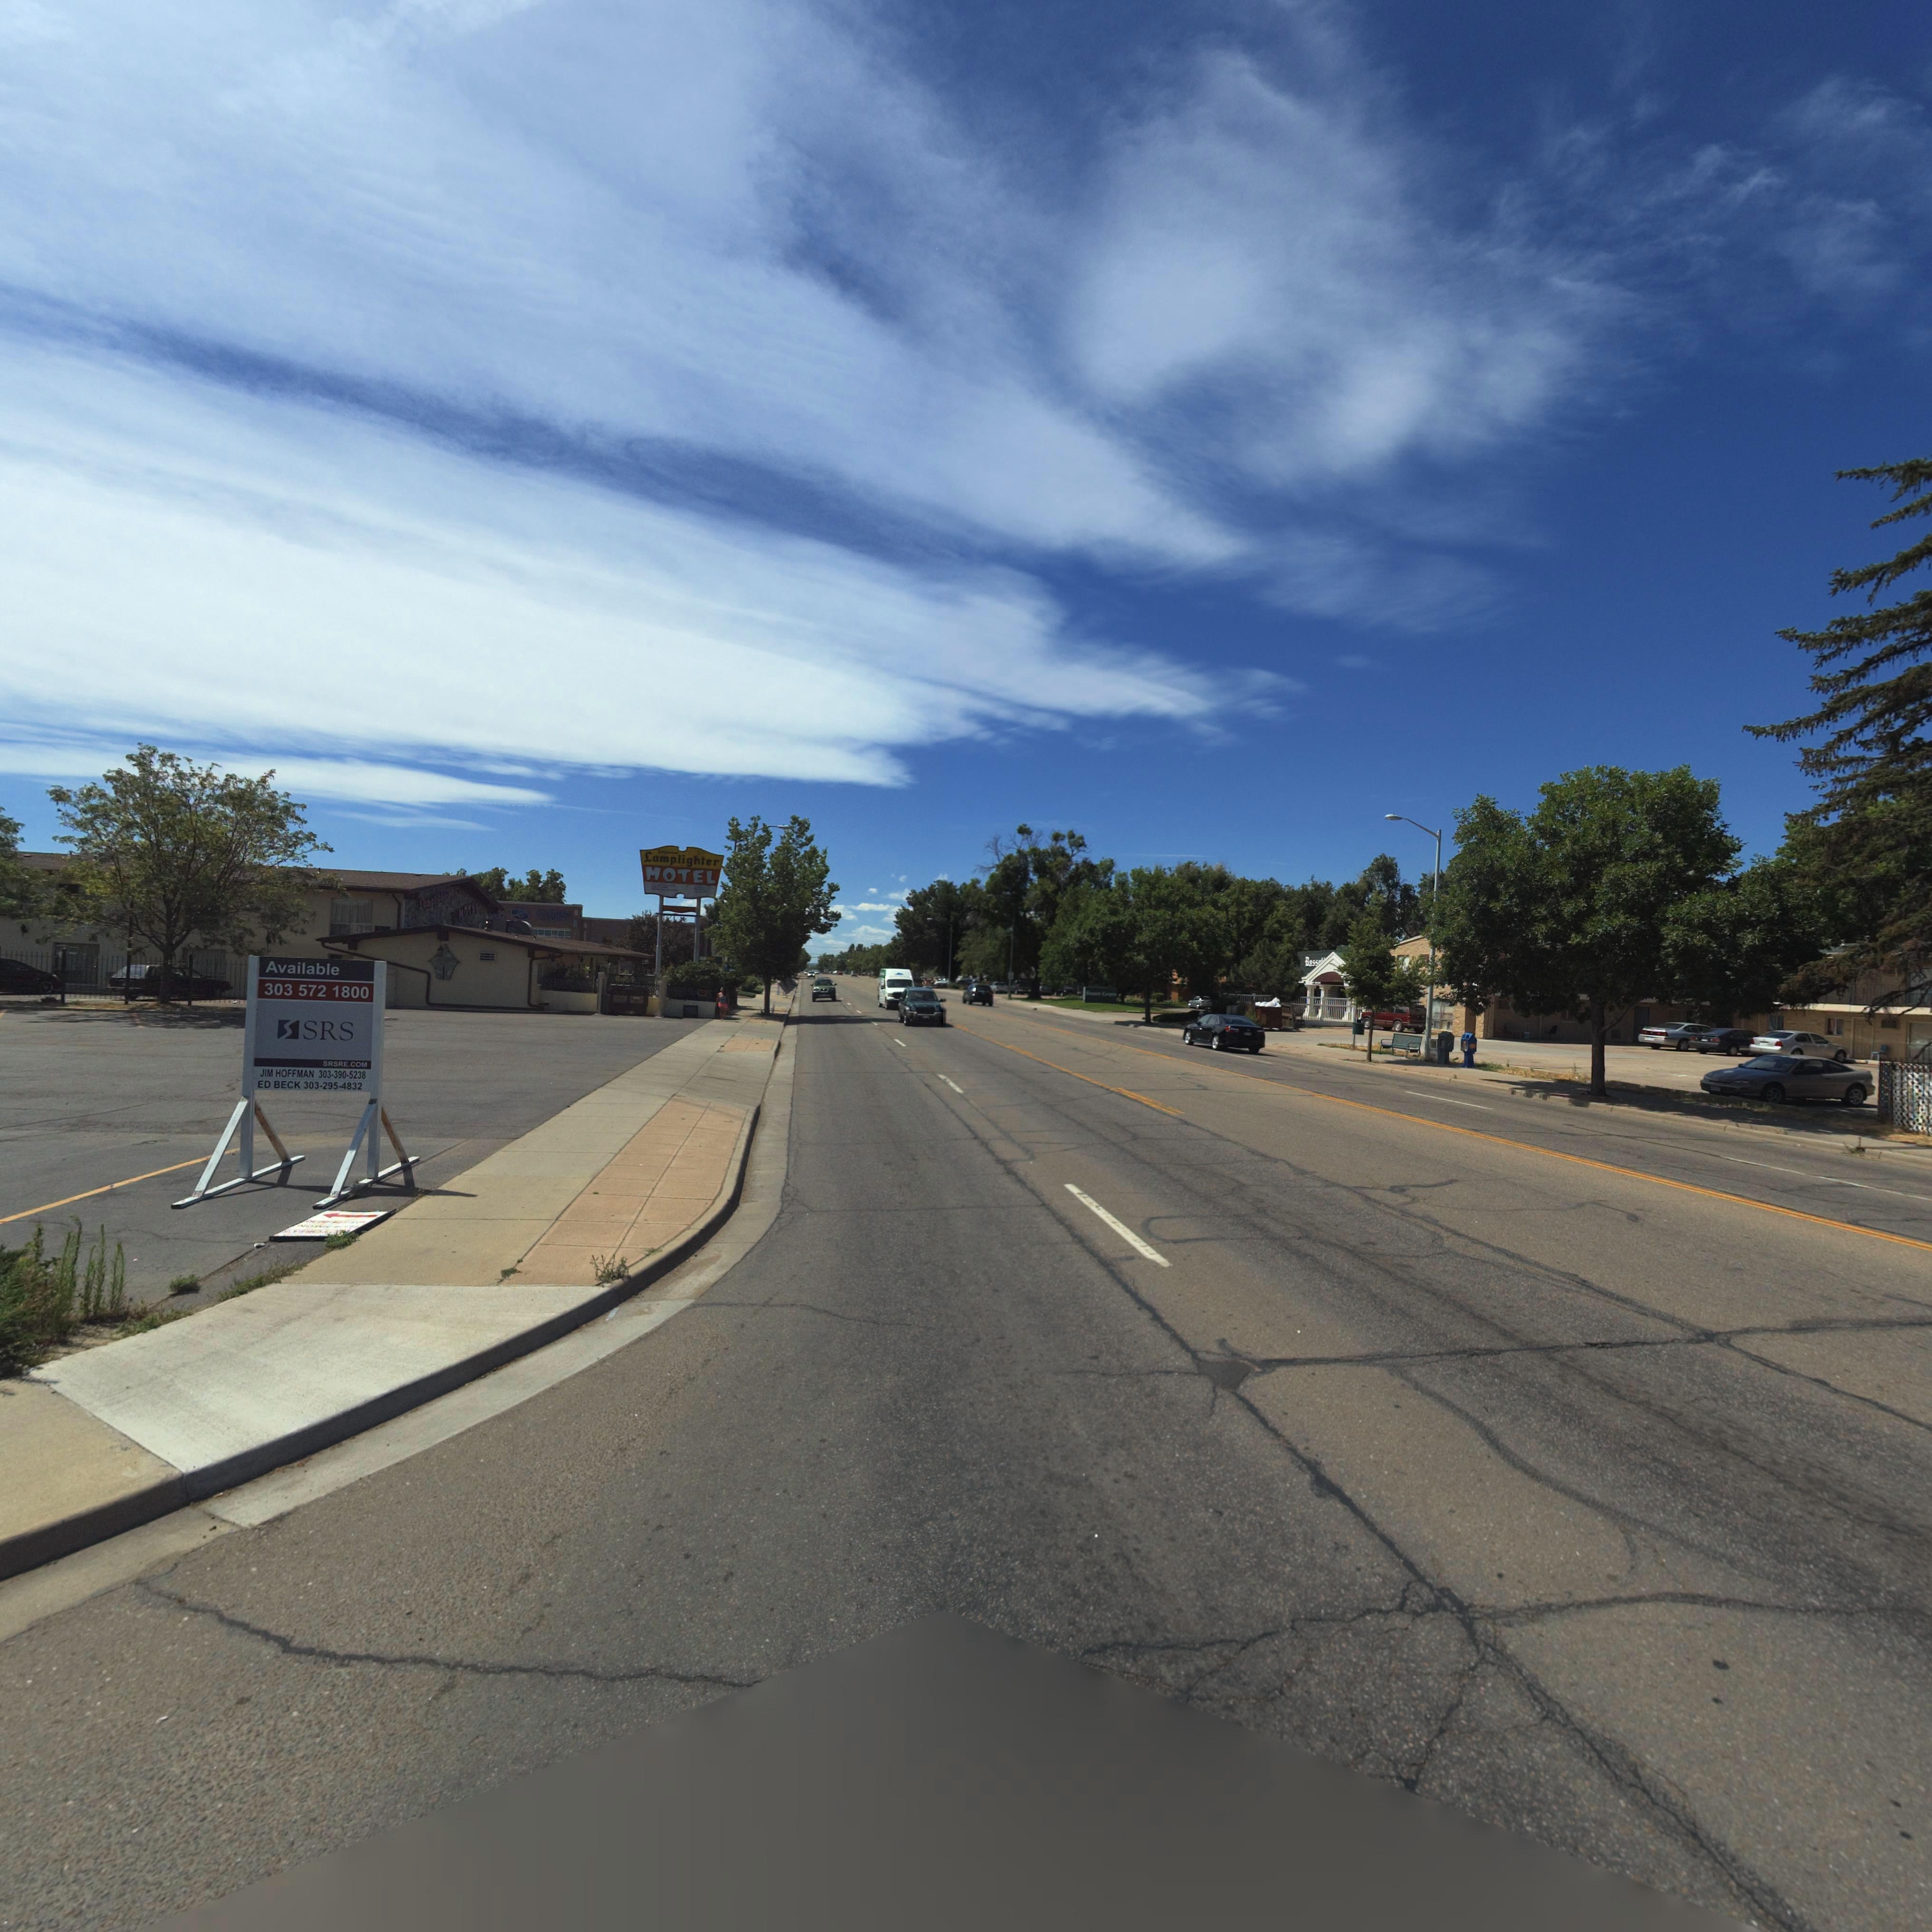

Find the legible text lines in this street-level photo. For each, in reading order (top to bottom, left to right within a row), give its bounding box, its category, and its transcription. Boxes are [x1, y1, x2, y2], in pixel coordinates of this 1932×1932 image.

[657, 849, 679, 855] BusinessName: L******t
[644, 850, 721, 868] BusinessName: Lamplighter
[645, 866, 716, 884] BusinessName: MOTEL
[418, 890, 452, 911] BusinessName: L*mpl****e*
[458, 902, 480, 920] BusinessName: *OTE*
[510, 908, 530, 920] BusinessName: 5
[540, 916, 565, 923] BusinessName: *OO**
[1304, 956, 1319, 966] BusinessName: Bass
[1086, 990, 1117, 997] BusinessName: ******* C*****